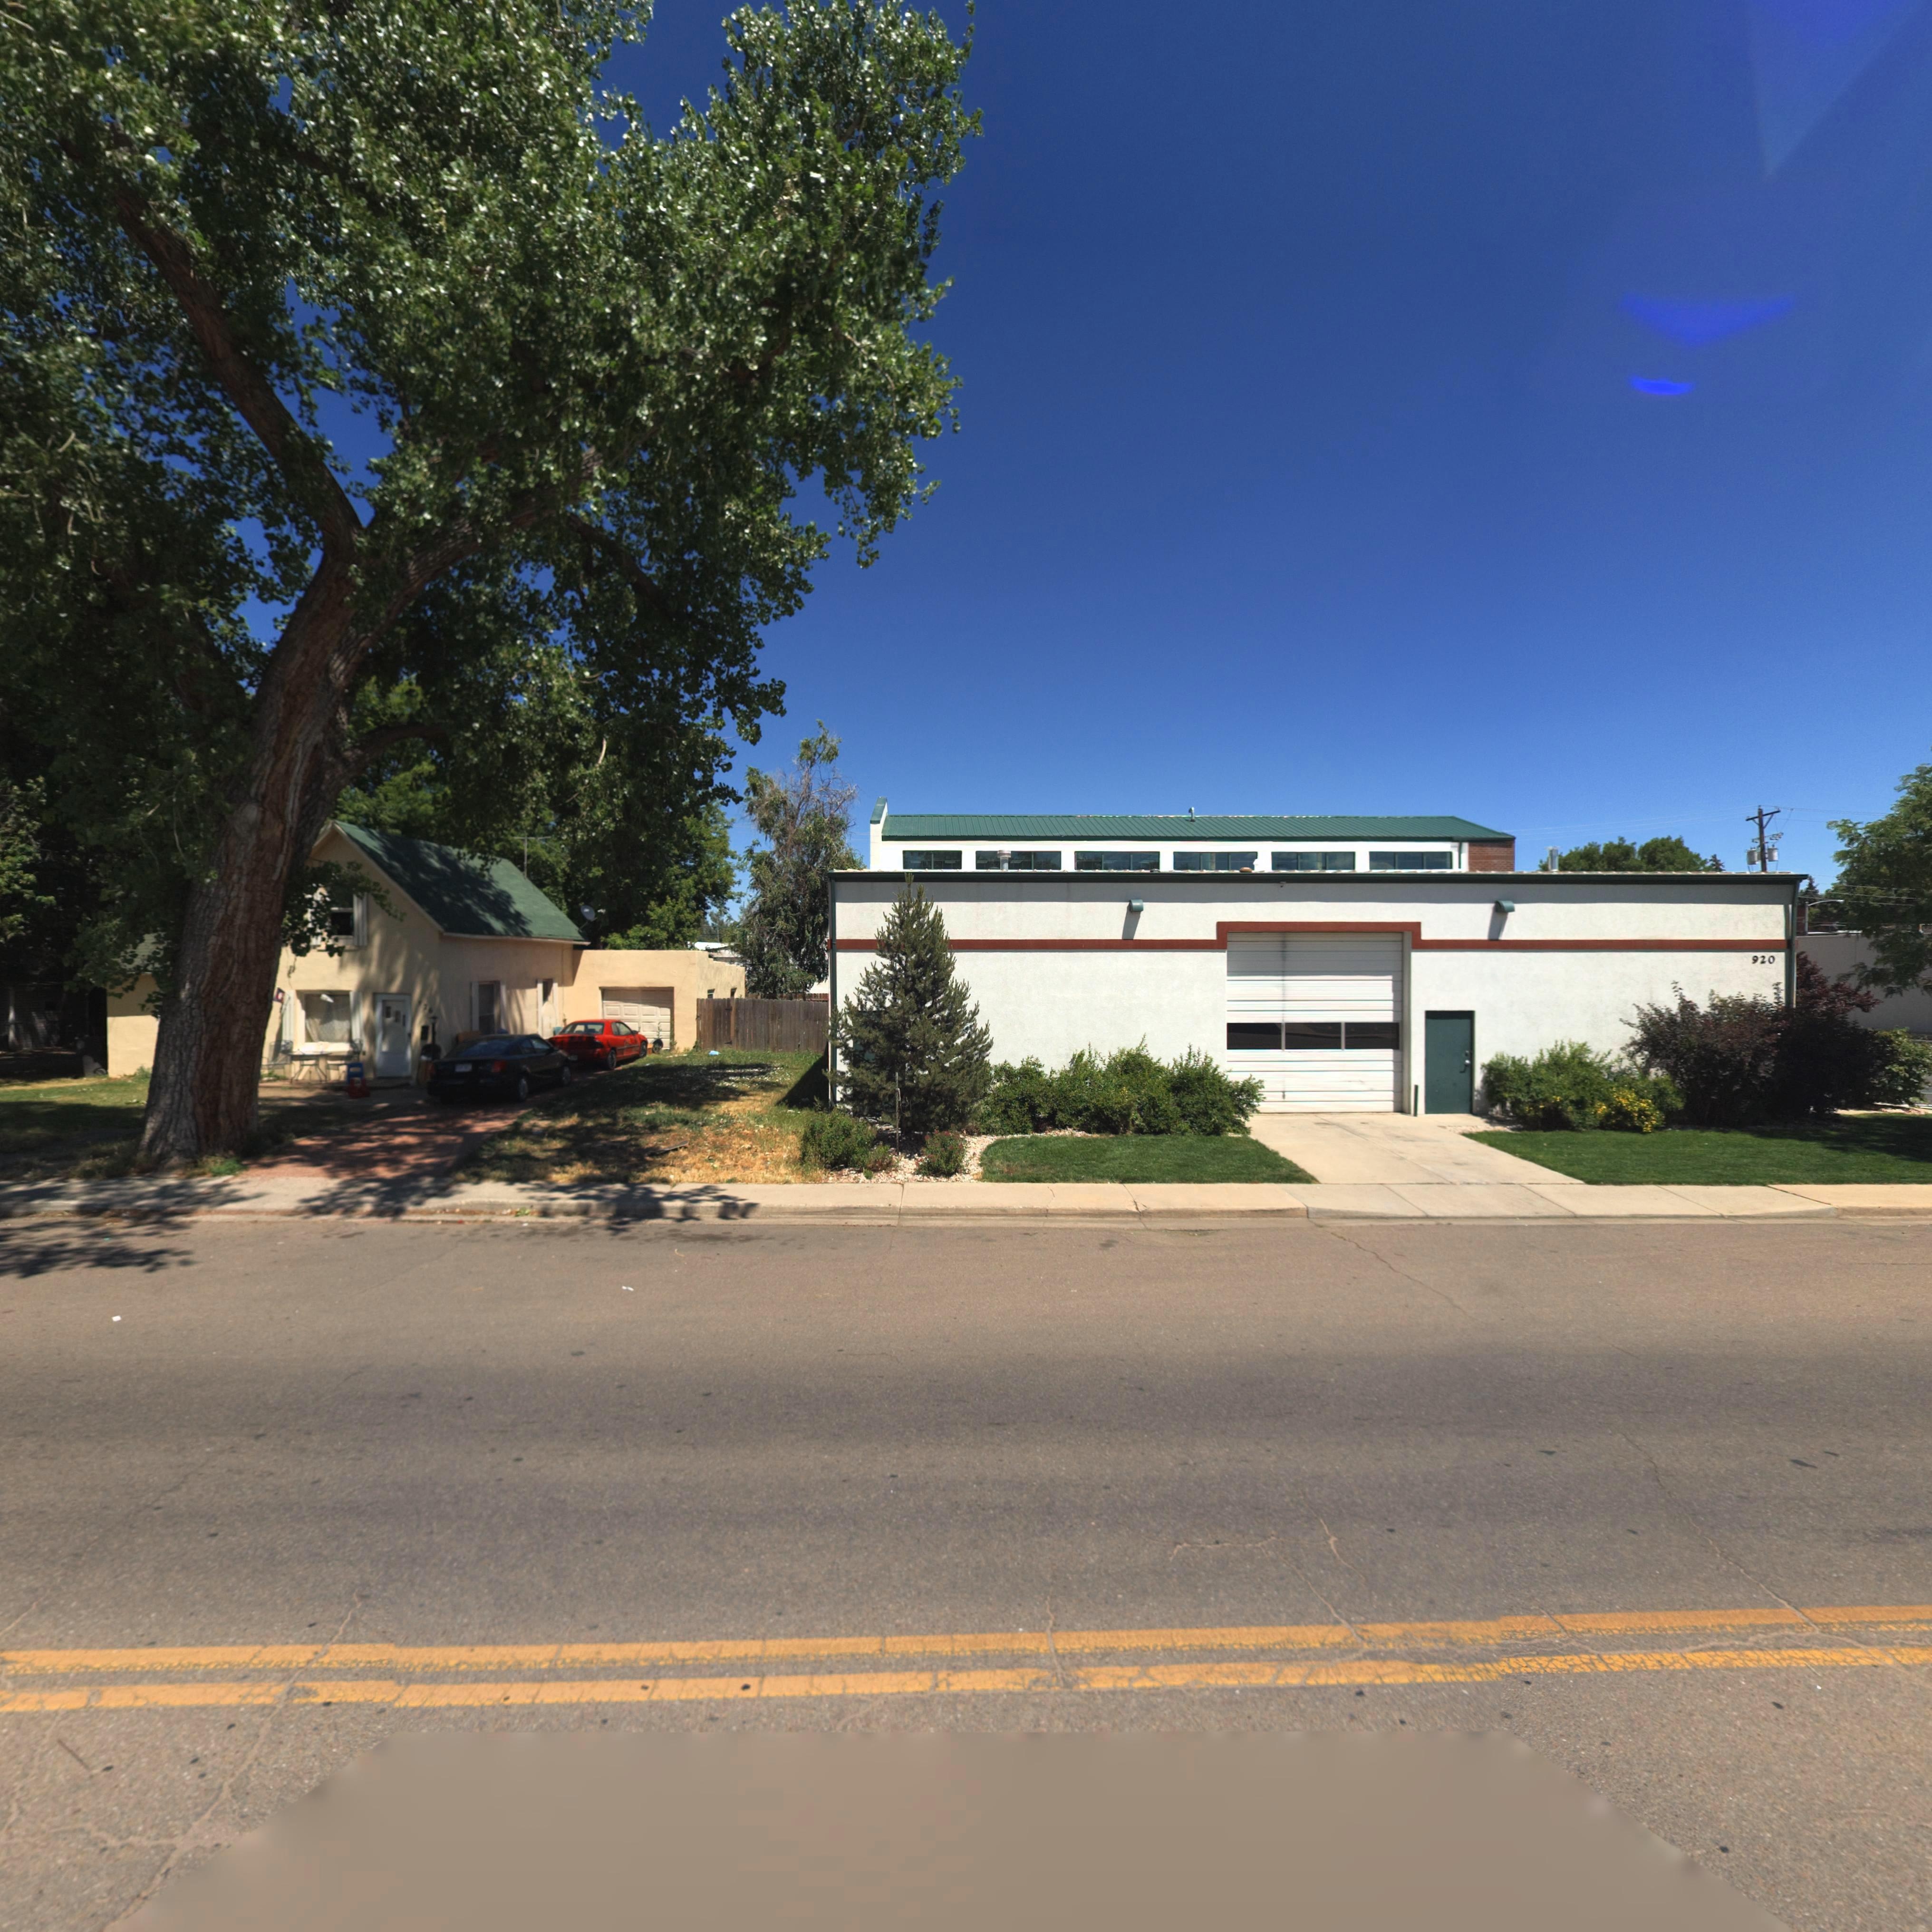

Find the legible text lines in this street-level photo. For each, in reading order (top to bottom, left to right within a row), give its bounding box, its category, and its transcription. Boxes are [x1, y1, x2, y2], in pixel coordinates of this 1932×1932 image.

[1751, 955, 1775, 964] StreetNumber: 920
[416, 999, 434, 1014] StreetNumber: 926